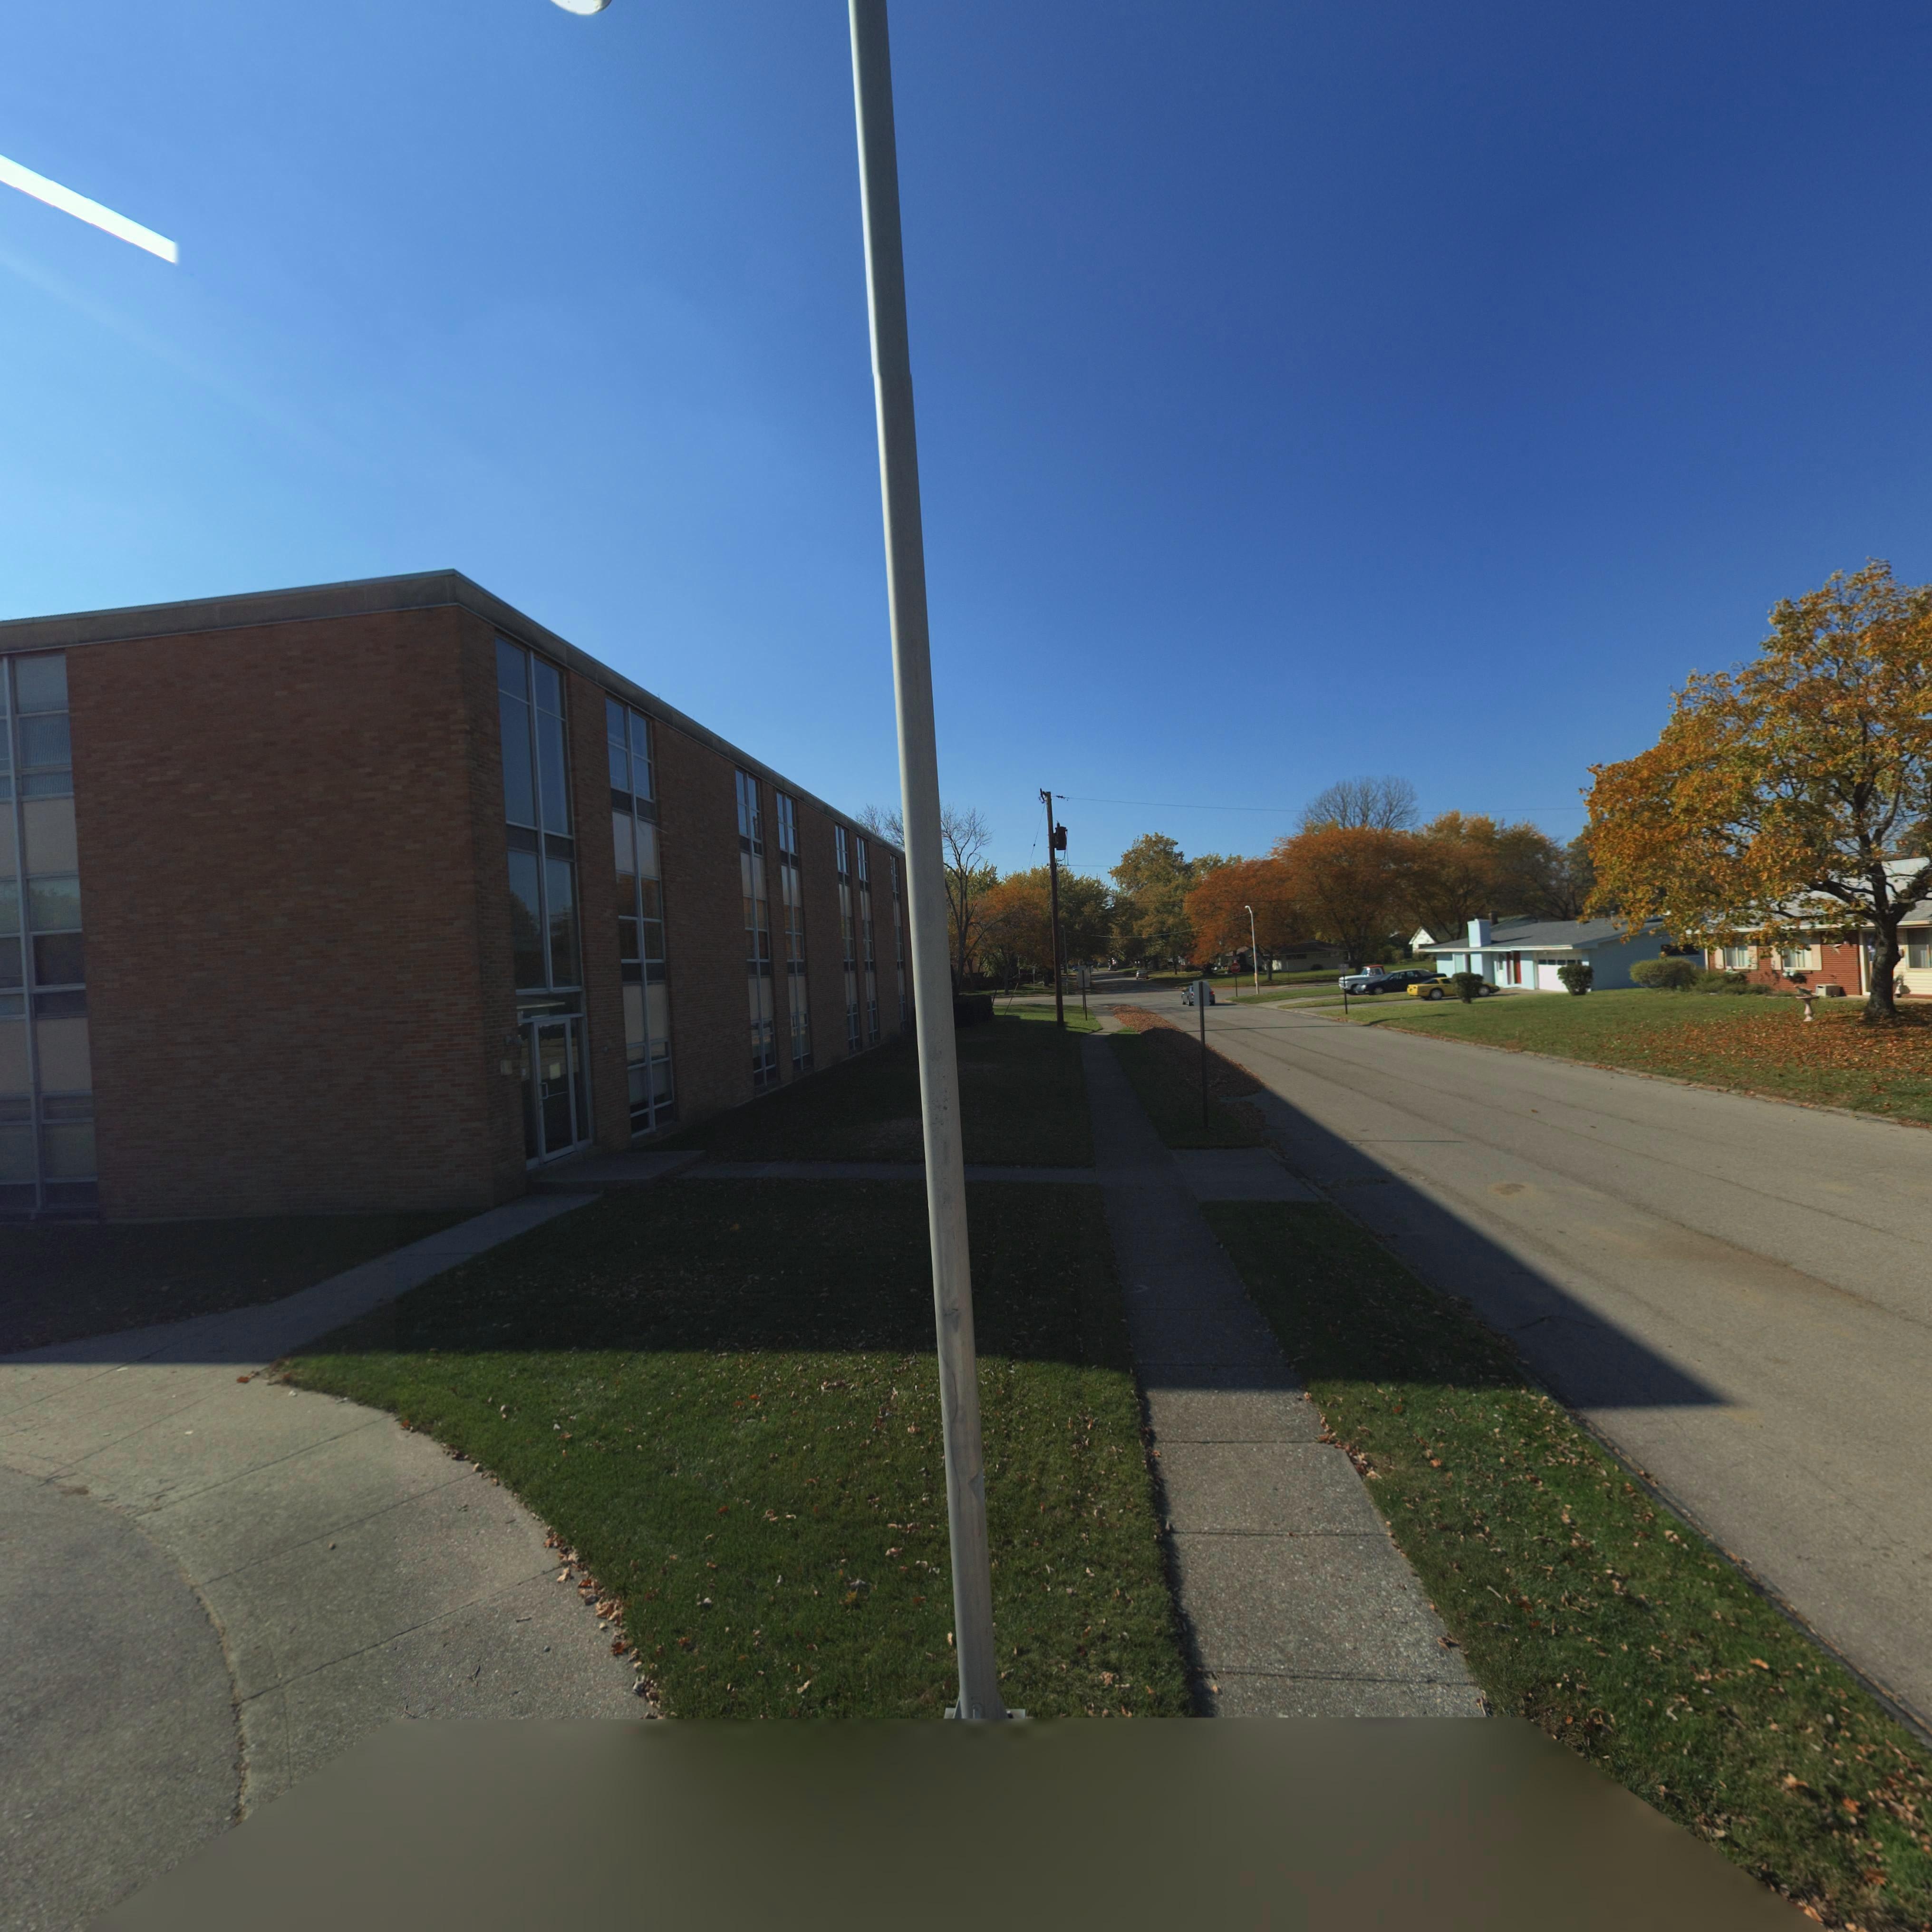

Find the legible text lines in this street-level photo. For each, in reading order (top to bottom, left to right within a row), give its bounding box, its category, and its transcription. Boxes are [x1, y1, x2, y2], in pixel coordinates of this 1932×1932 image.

[1231, 966, 1240, 970] None: **O*